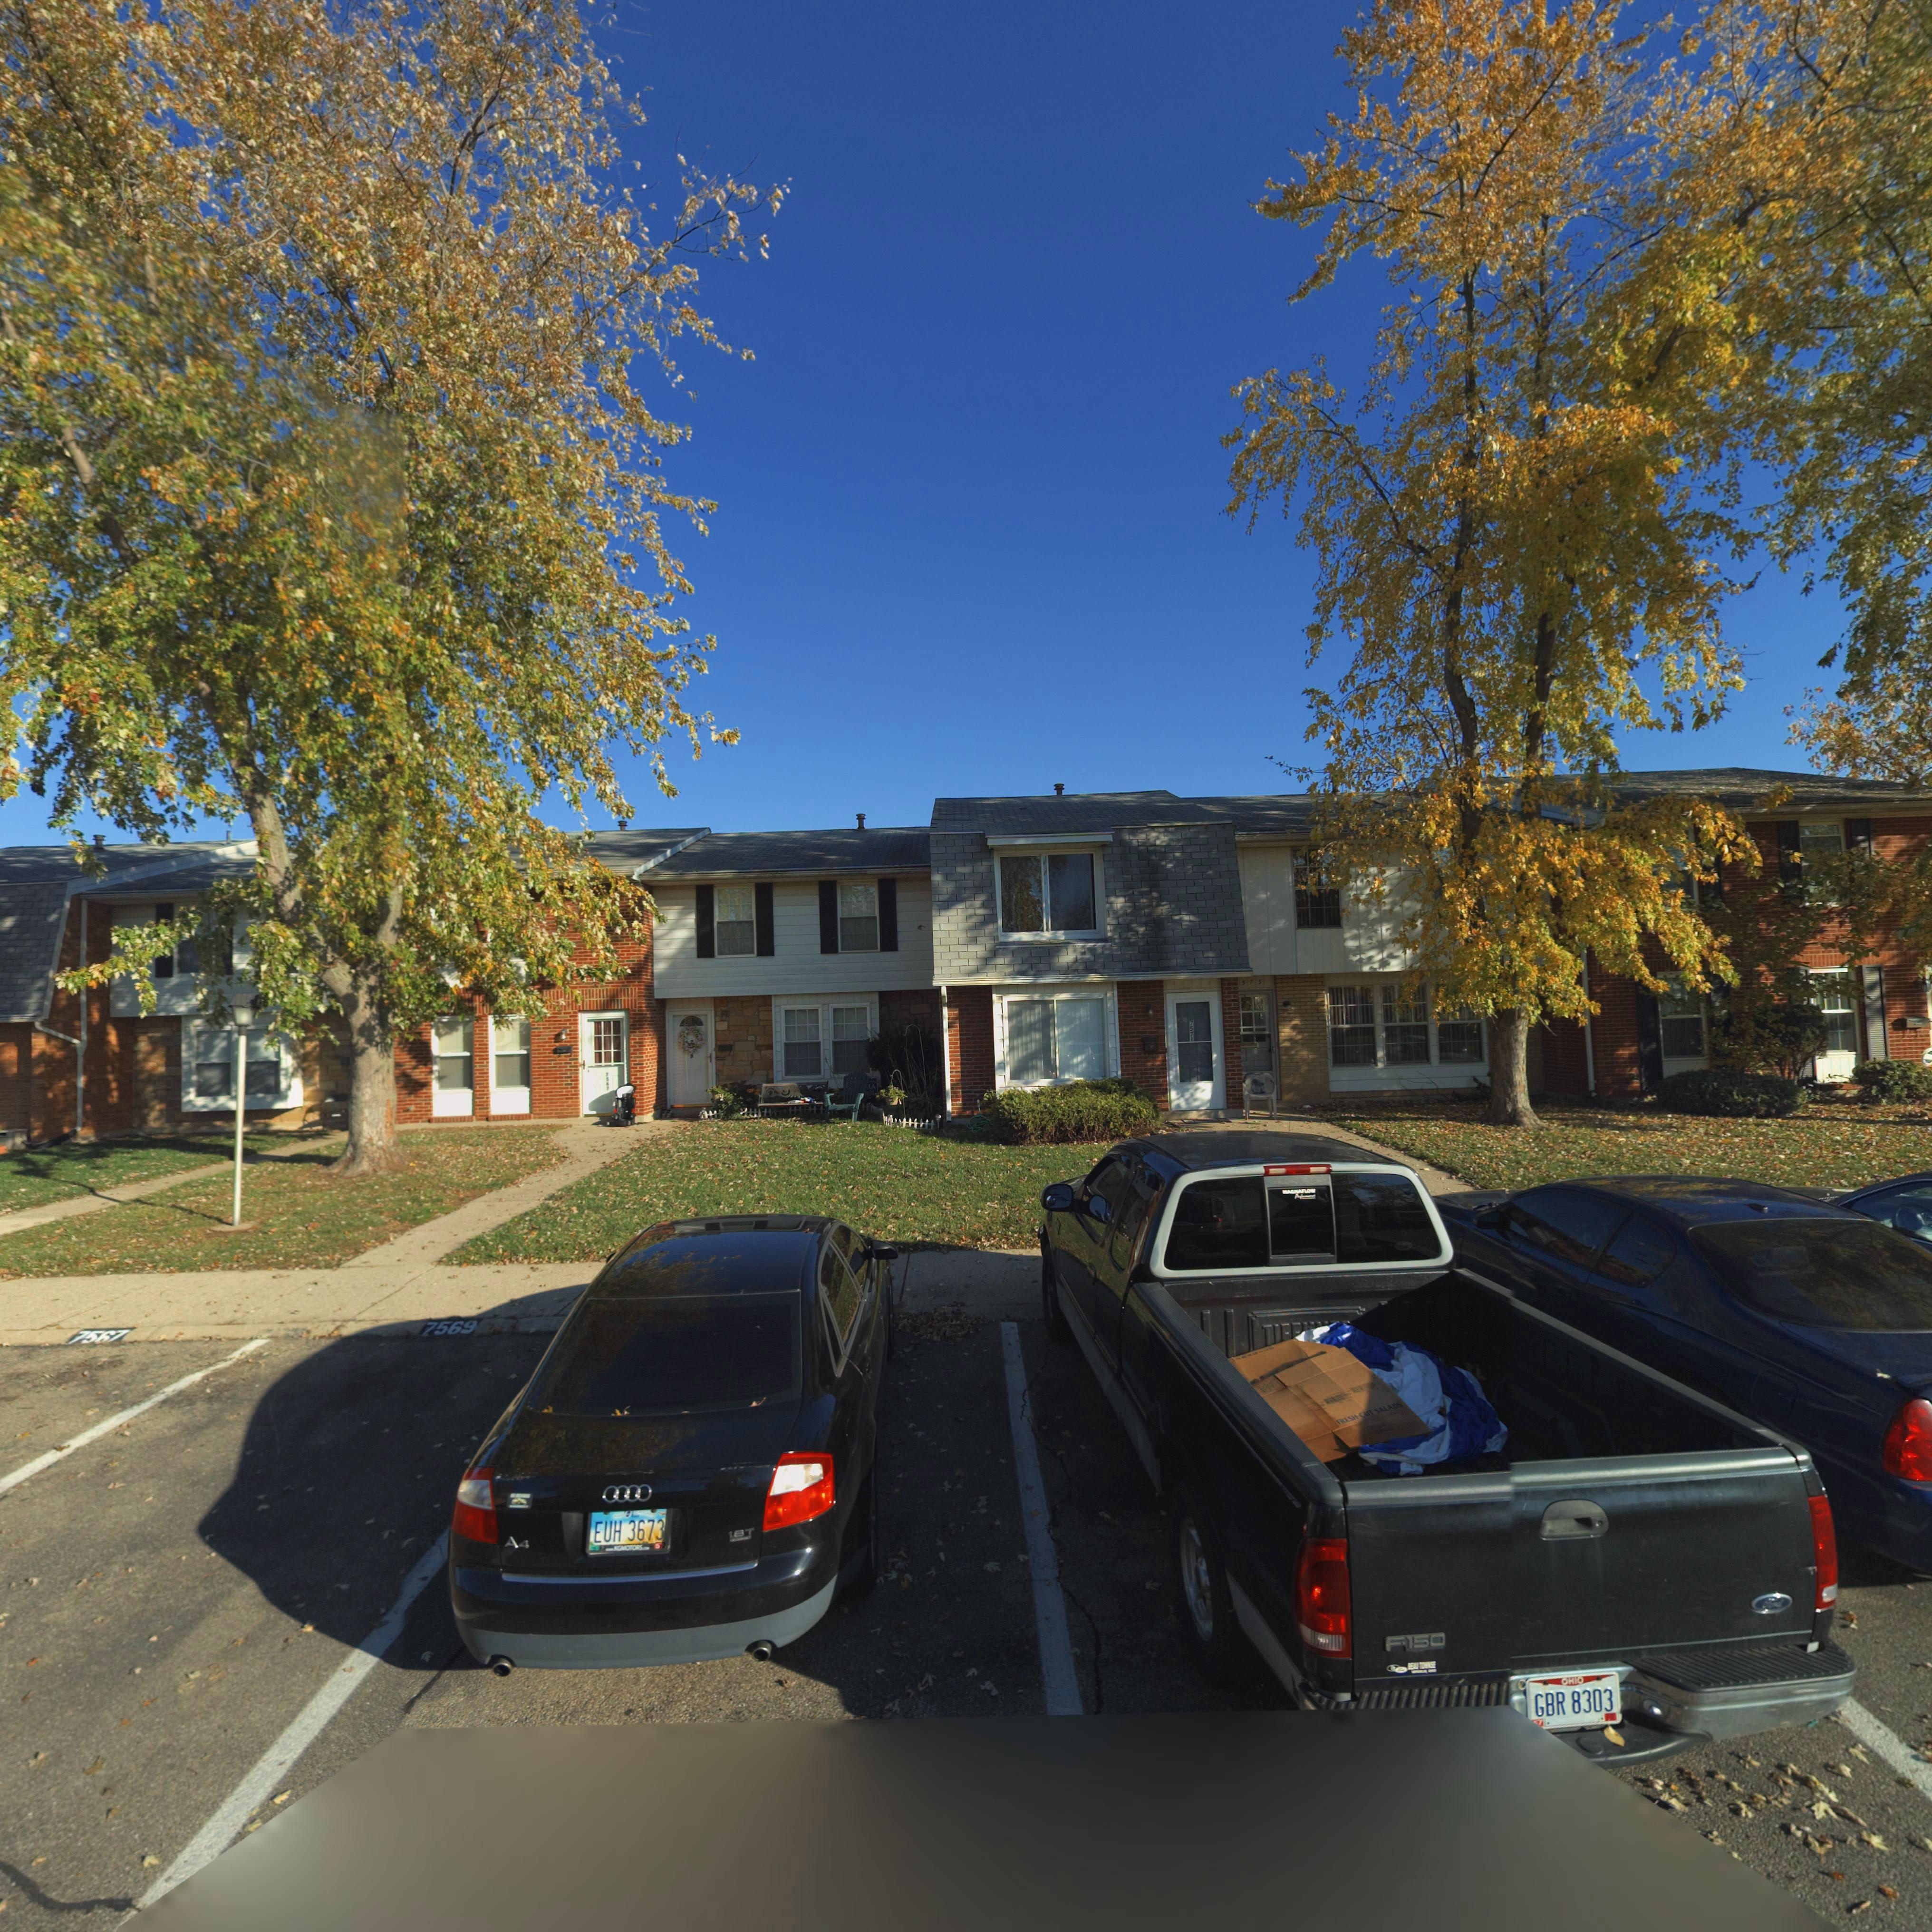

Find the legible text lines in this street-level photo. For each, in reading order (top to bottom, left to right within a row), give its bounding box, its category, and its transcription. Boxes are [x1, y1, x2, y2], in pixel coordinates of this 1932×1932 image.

[1241, 979, 1262, 985] StreetNumber: 573
[1189, 1020, 1194, 1042] StreetNumber: 7571
[605, 1072, 609, 1091] StreetNumber: 7567
[421, 1318, 480, 1336] StreetNumber: 7569
[64, 1329, 134, 1345] StreetNumber: 7567